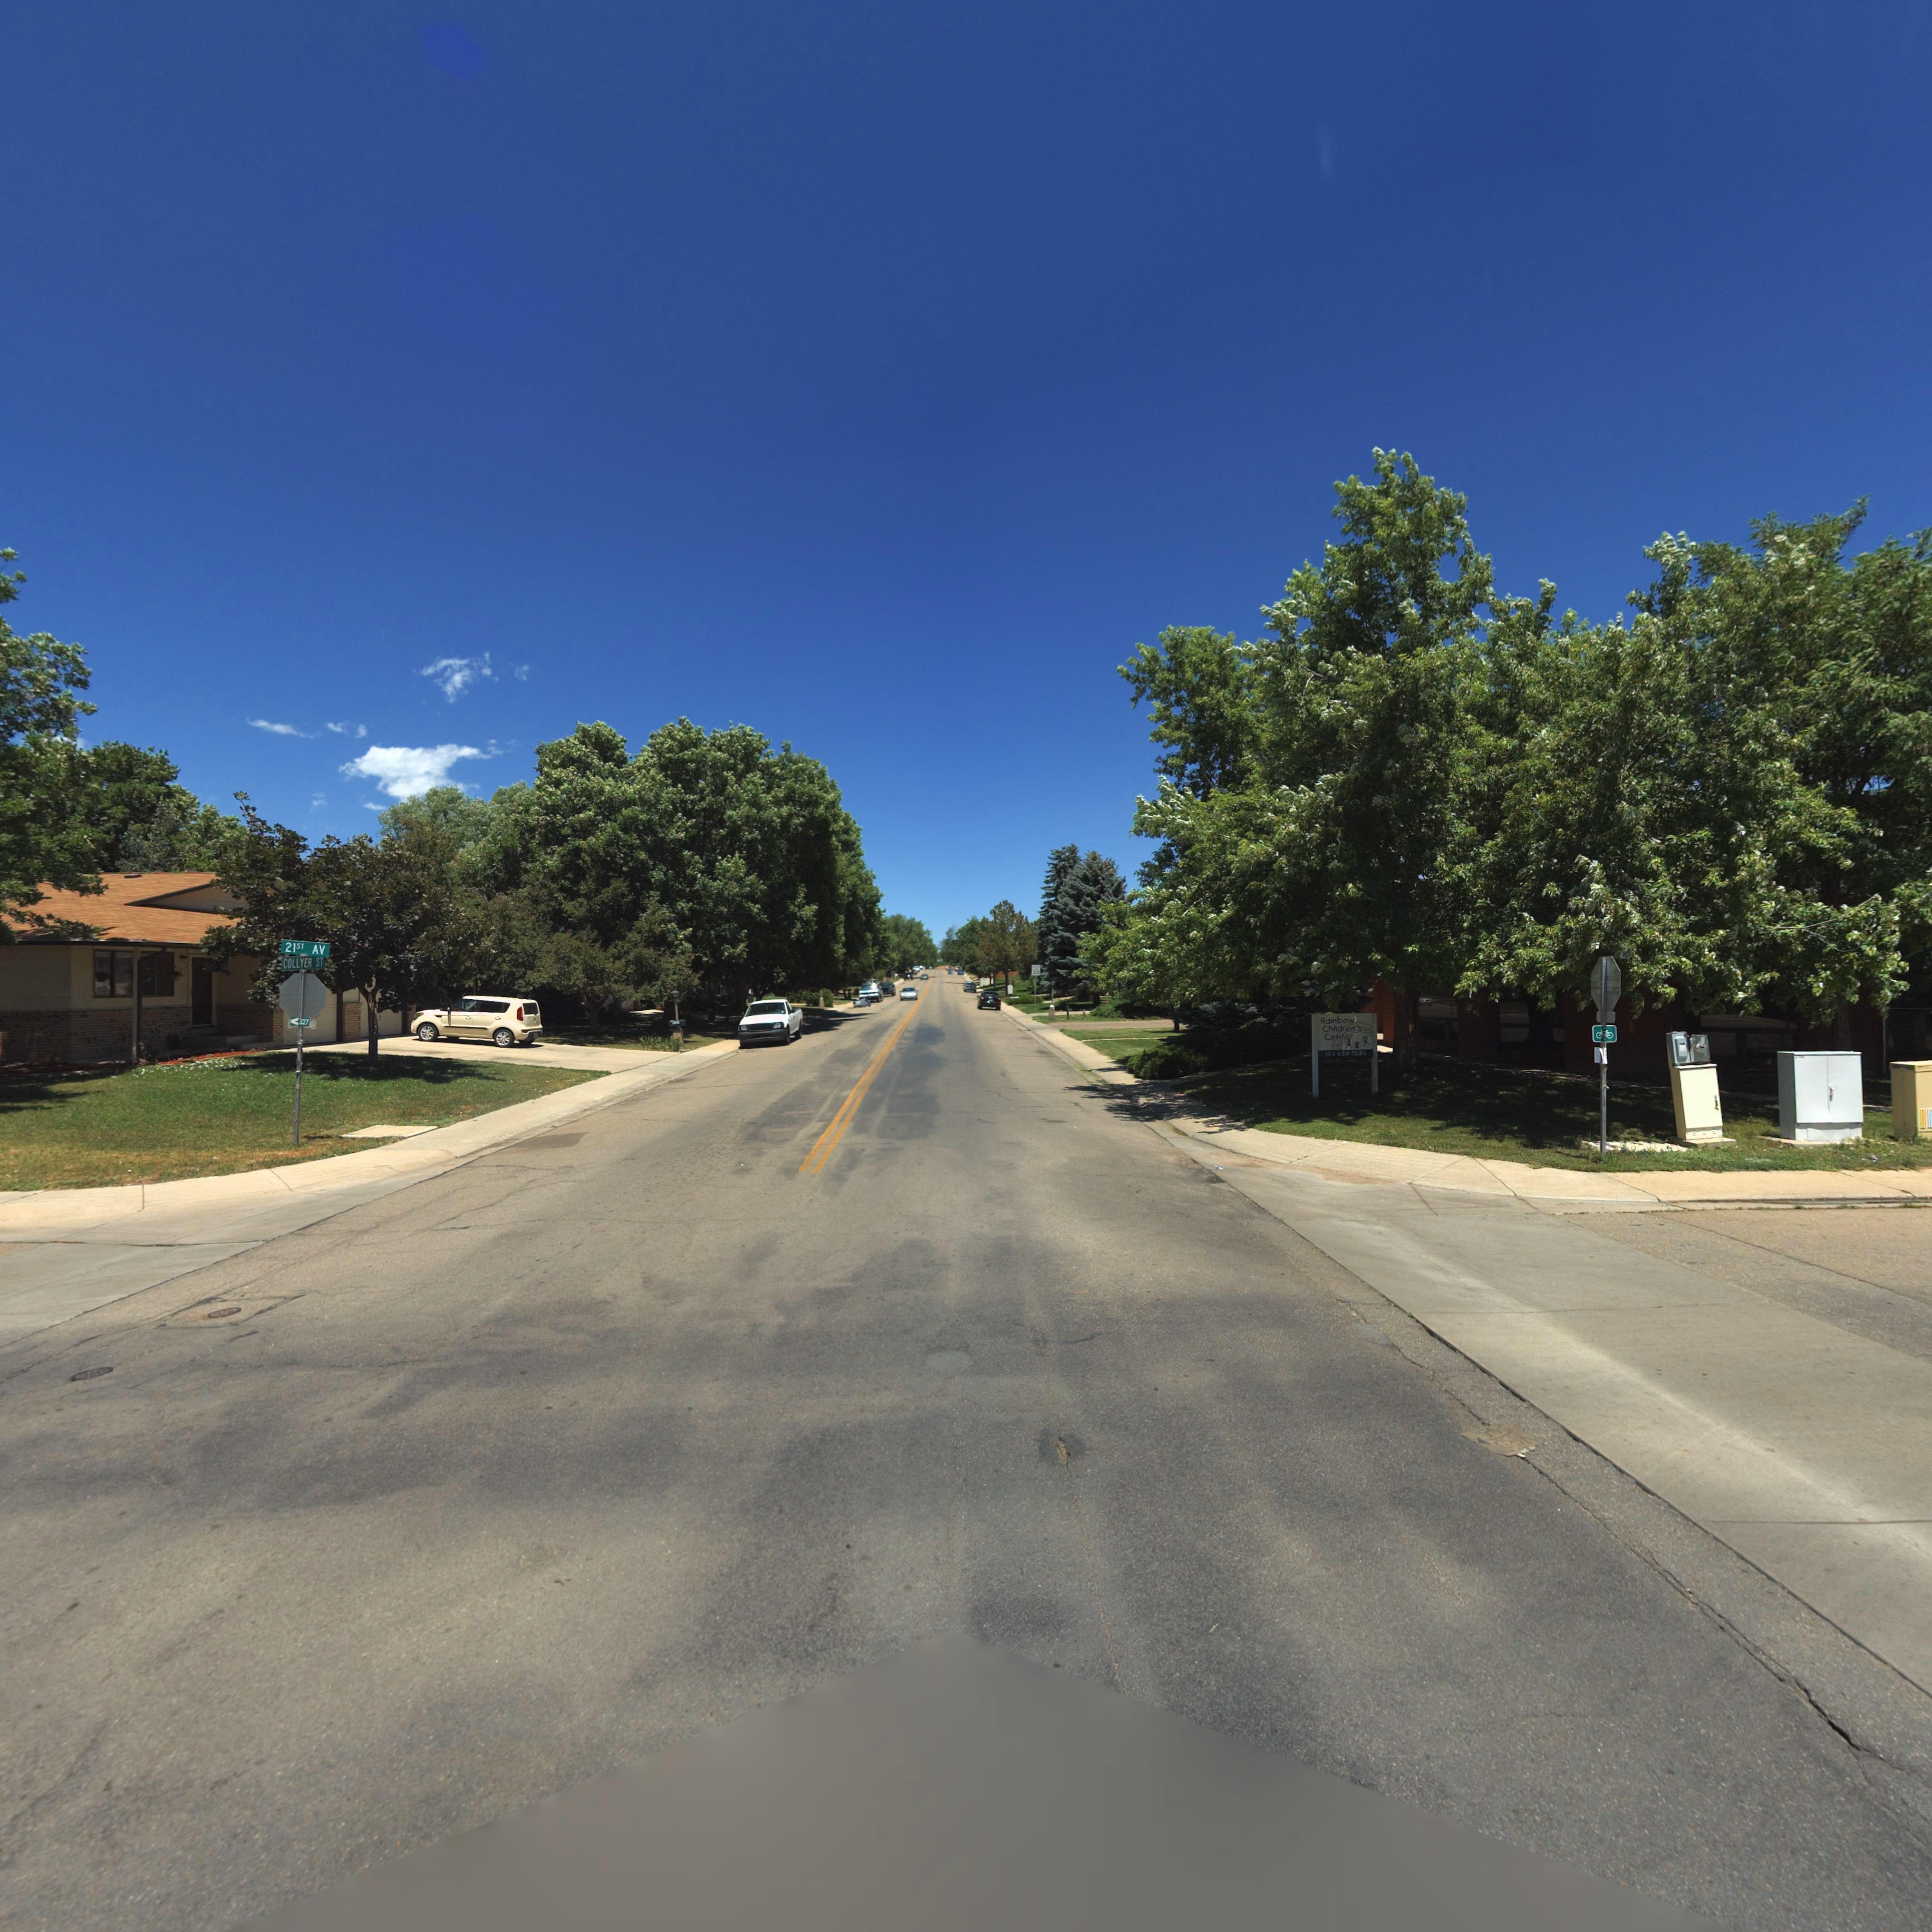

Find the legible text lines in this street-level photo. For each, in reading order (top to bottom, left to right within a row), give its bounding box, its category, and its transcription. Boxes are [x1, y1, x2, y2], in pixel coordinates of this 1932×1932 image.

[283, 940, 329, 955] StreetName: 21ST AV
[281, 956, 324, 970] StreetName: COLLYER ST
[1320, 1015, 1357, 1024] BusinessName: Rainbow
[1321, 1024, 1362, 1033] BusinessName: Children's
[1323, 1033, 1354, 1040] BusinessName: Center